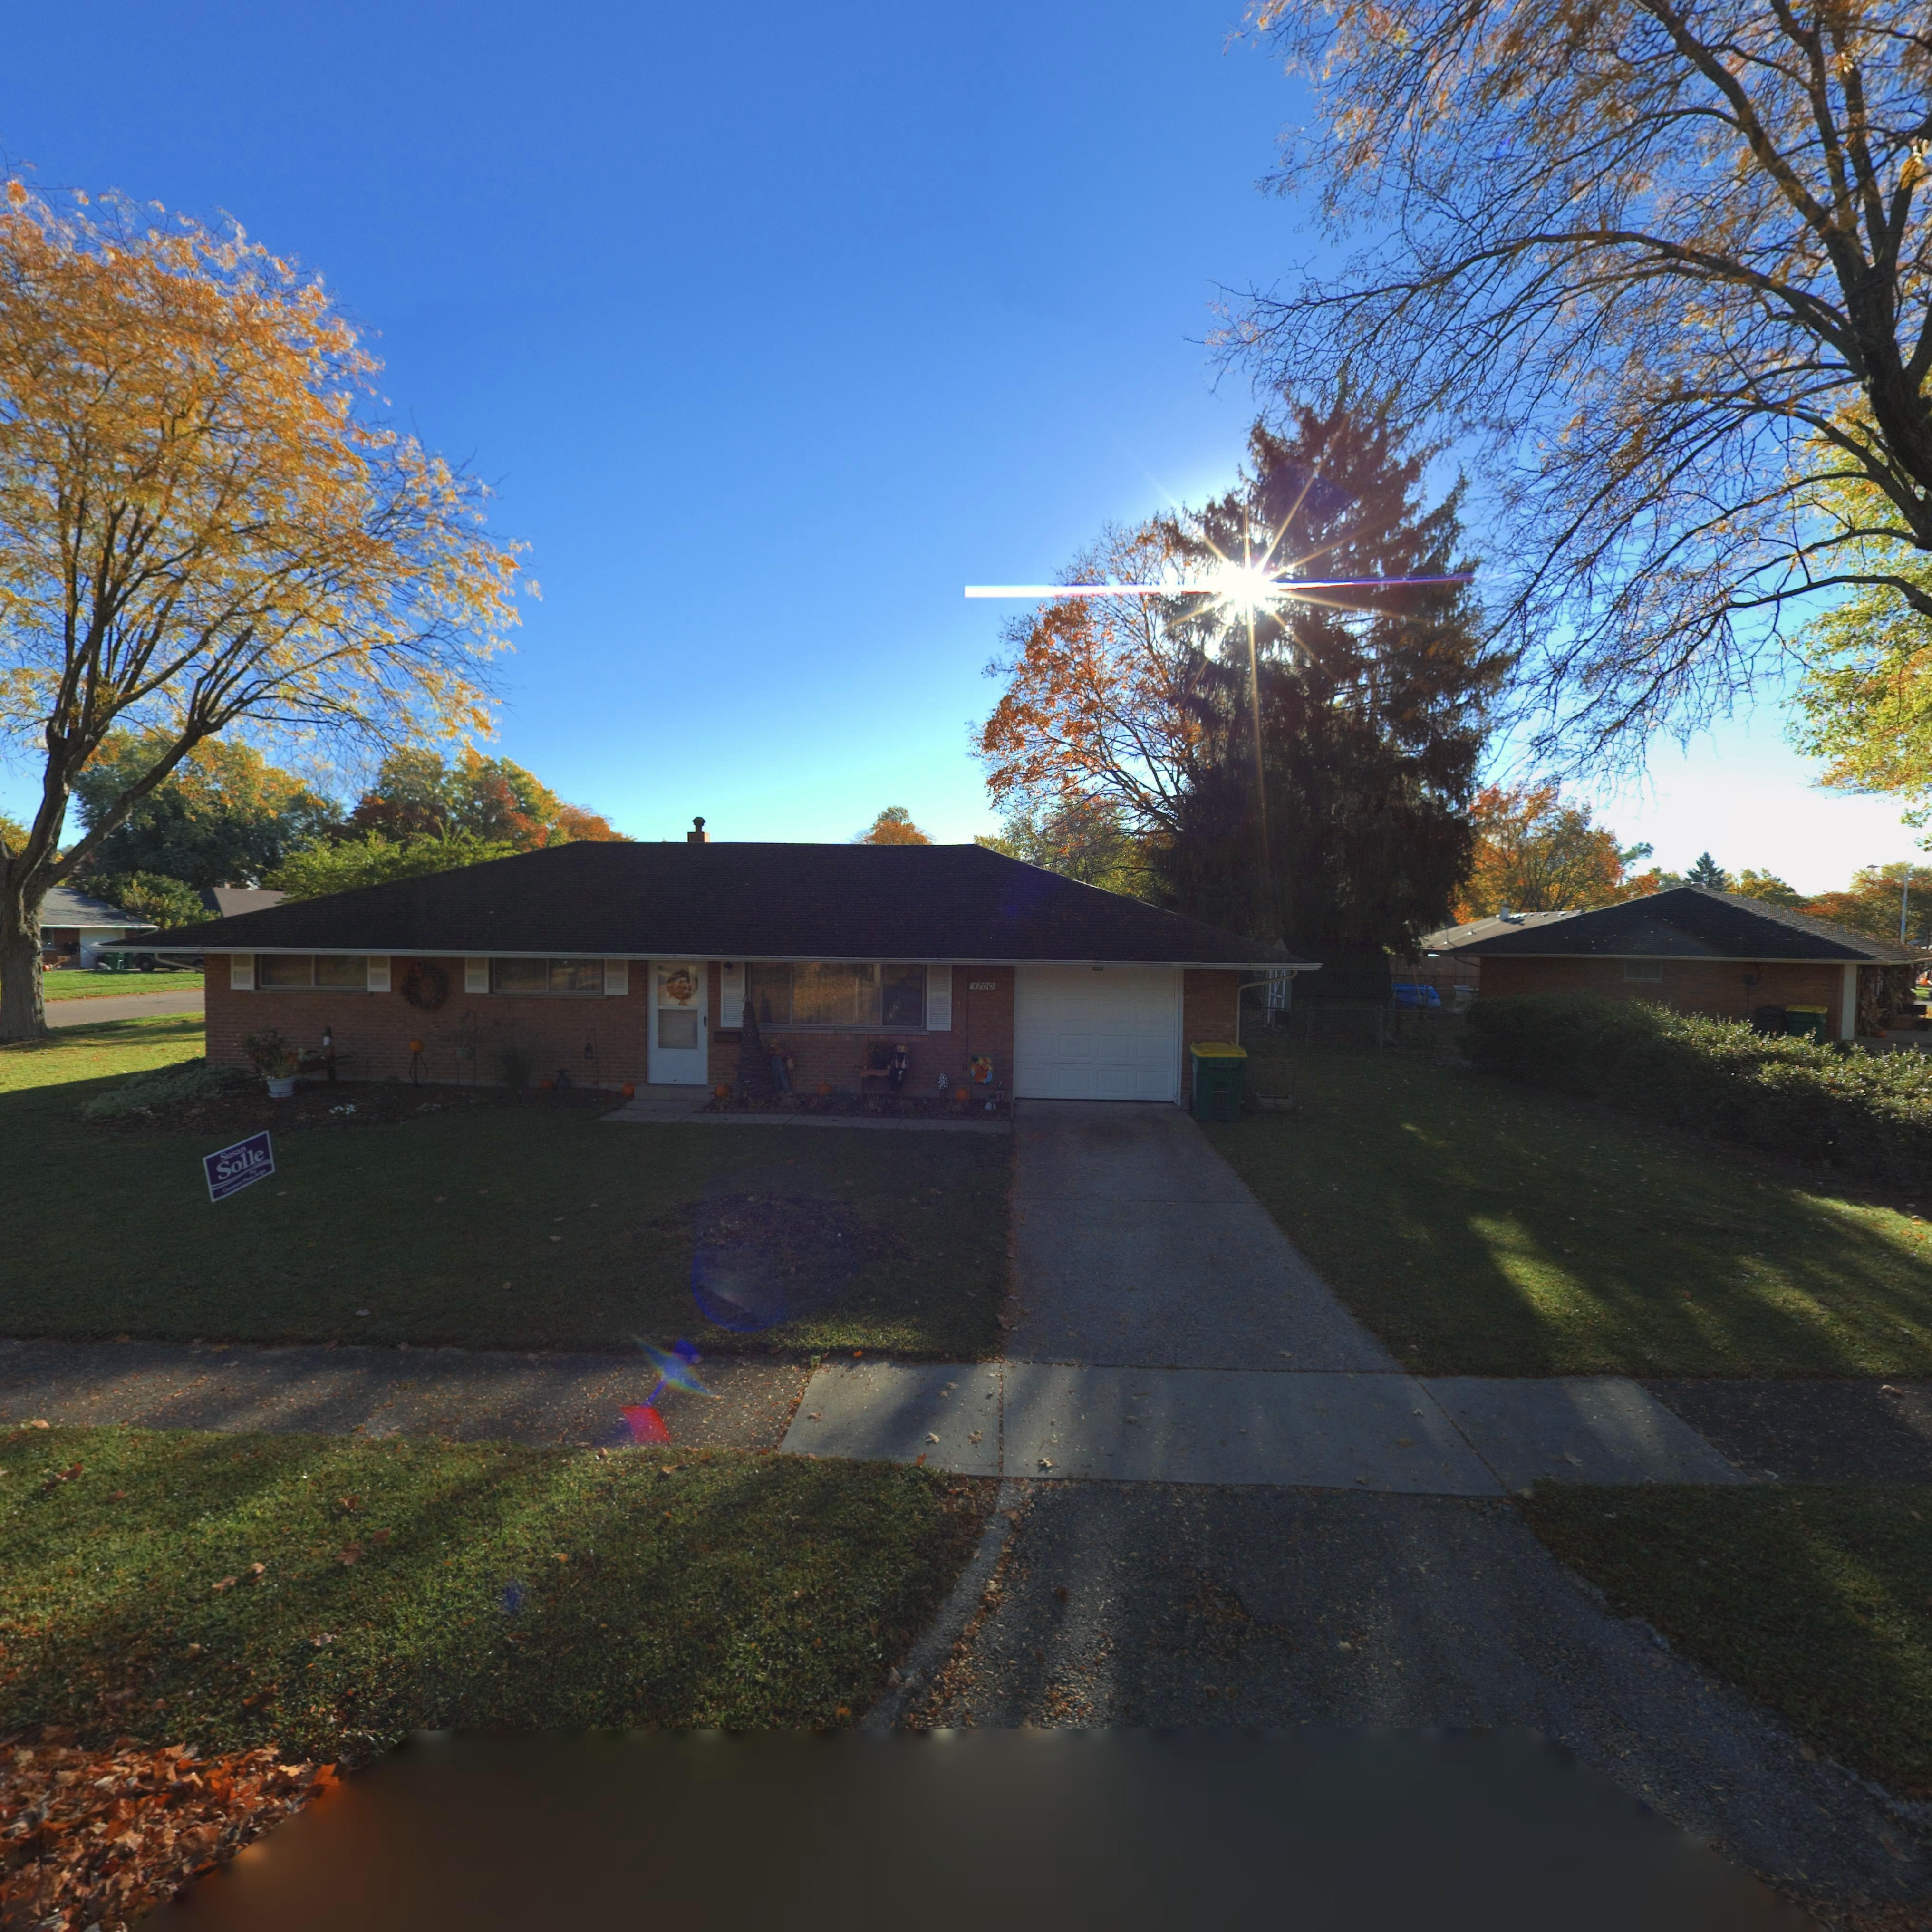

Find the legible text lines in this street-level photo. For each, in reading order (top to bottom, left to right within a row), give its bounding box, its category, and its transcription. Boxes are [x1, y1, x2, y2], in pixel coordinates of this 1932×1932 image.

[972, 982, 994, 990] StreetNumber: 4700